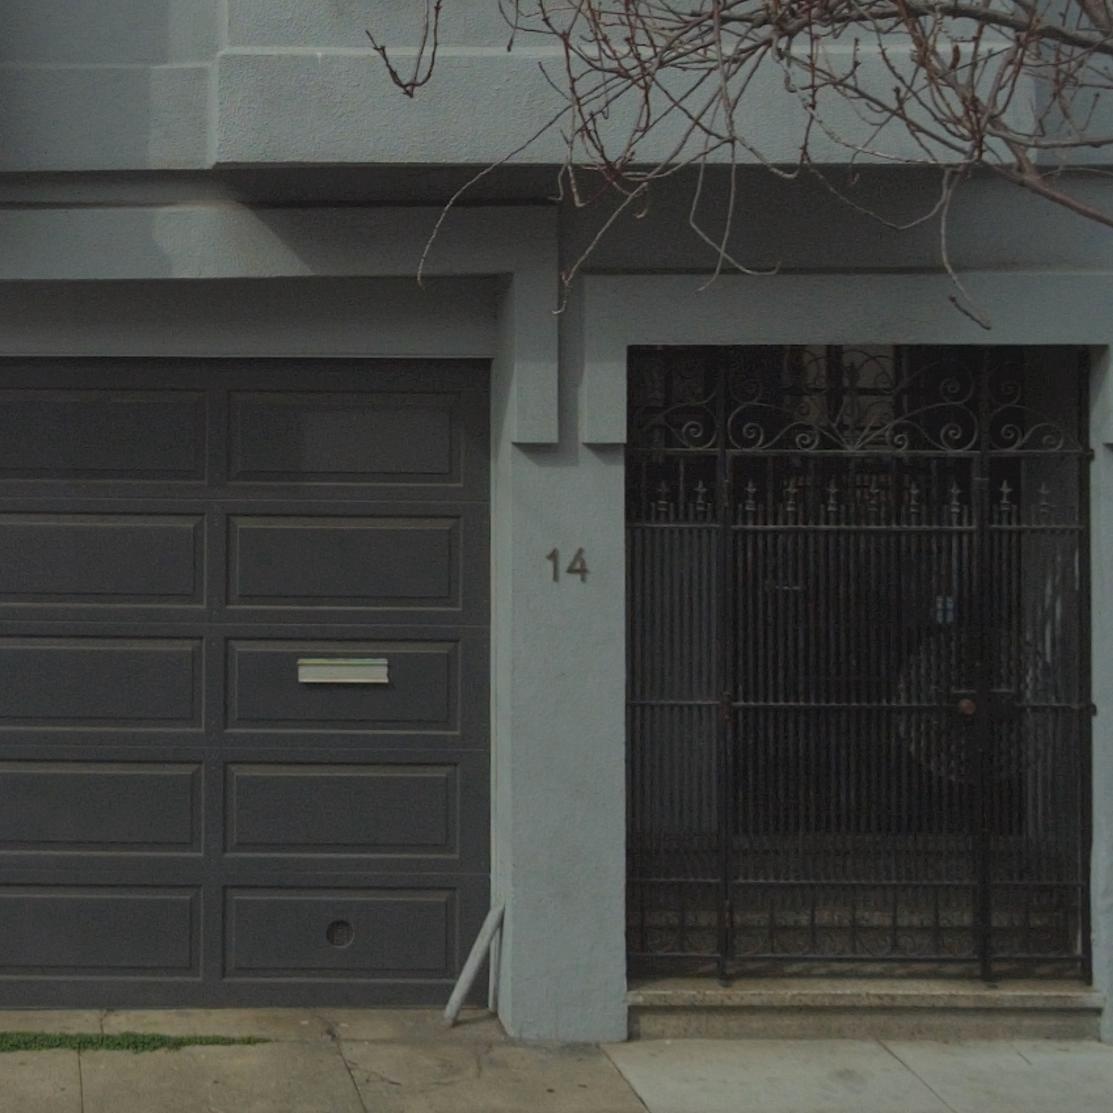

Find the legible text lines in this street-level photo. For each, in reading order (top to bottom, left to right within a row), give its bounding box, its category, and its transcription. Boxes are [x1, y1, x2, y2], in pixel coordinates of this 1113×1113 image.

[544, 545, 592, 585] StreetNumber: 14